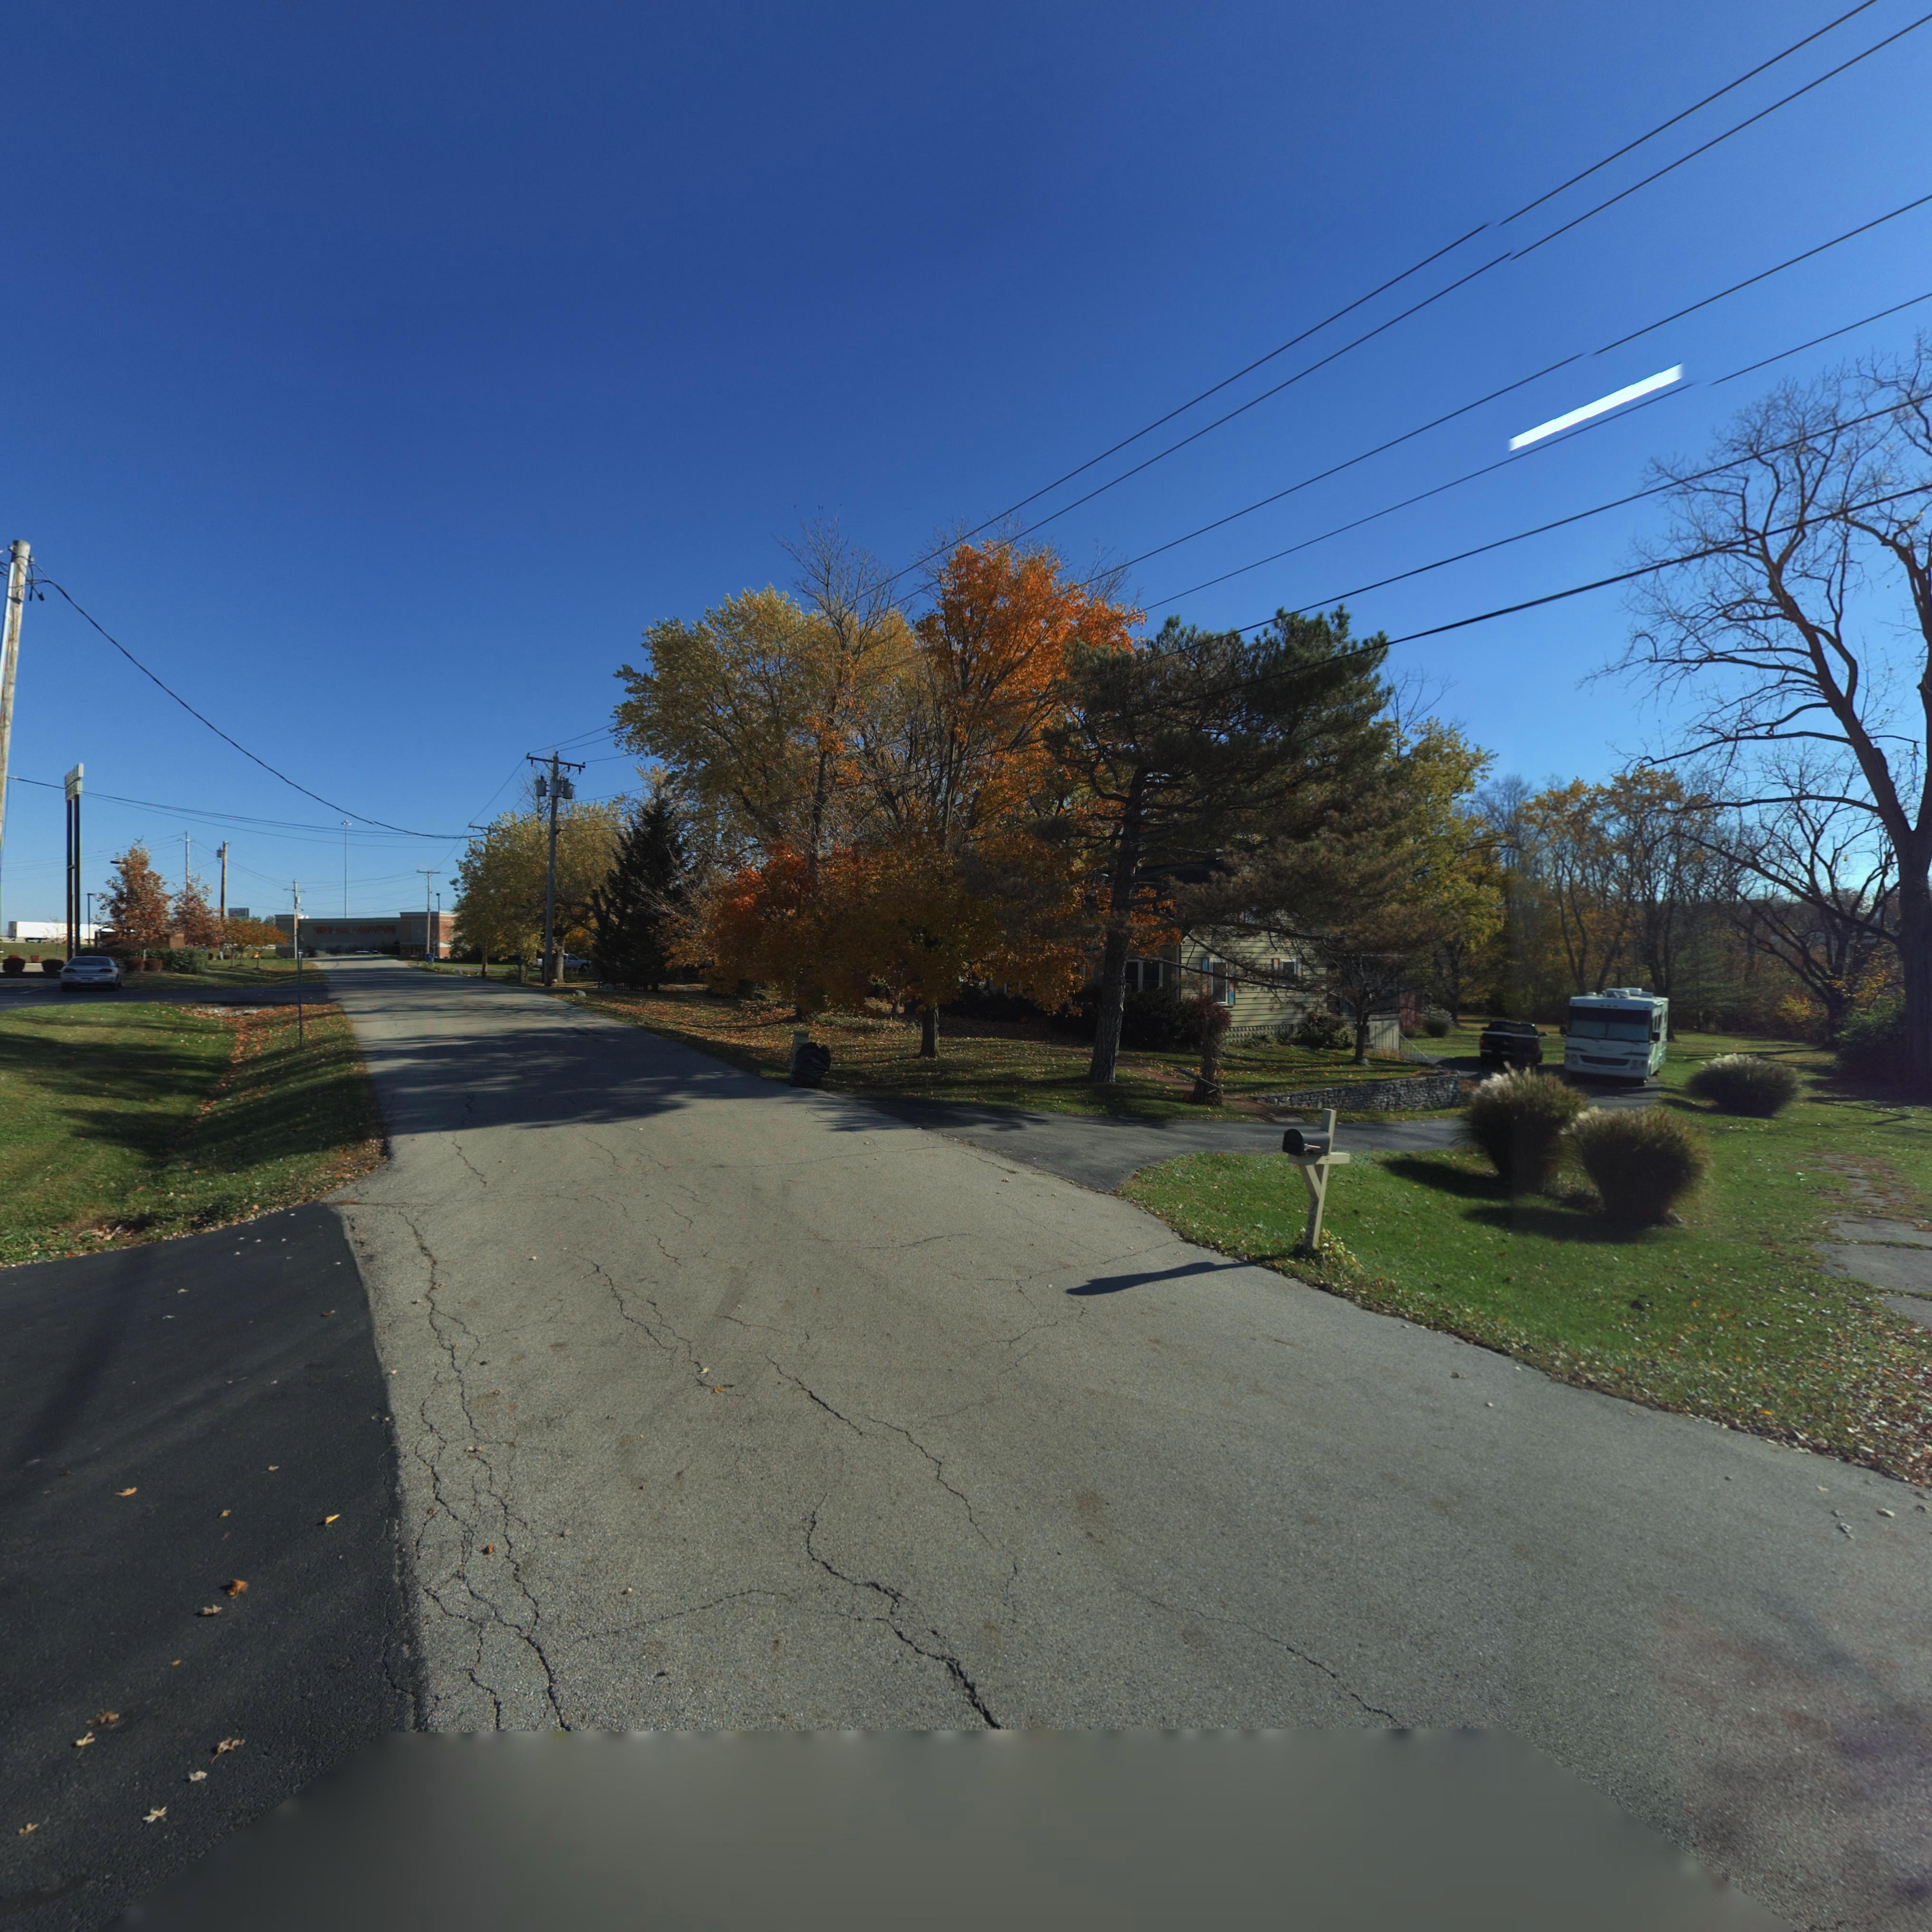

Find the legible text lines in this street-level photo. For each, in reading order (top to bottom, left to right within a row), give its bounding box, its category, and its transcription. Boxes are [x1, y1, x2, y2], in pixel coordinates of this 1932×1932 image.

[1304, 1201, 1319, 1241] StreetNumber: 782